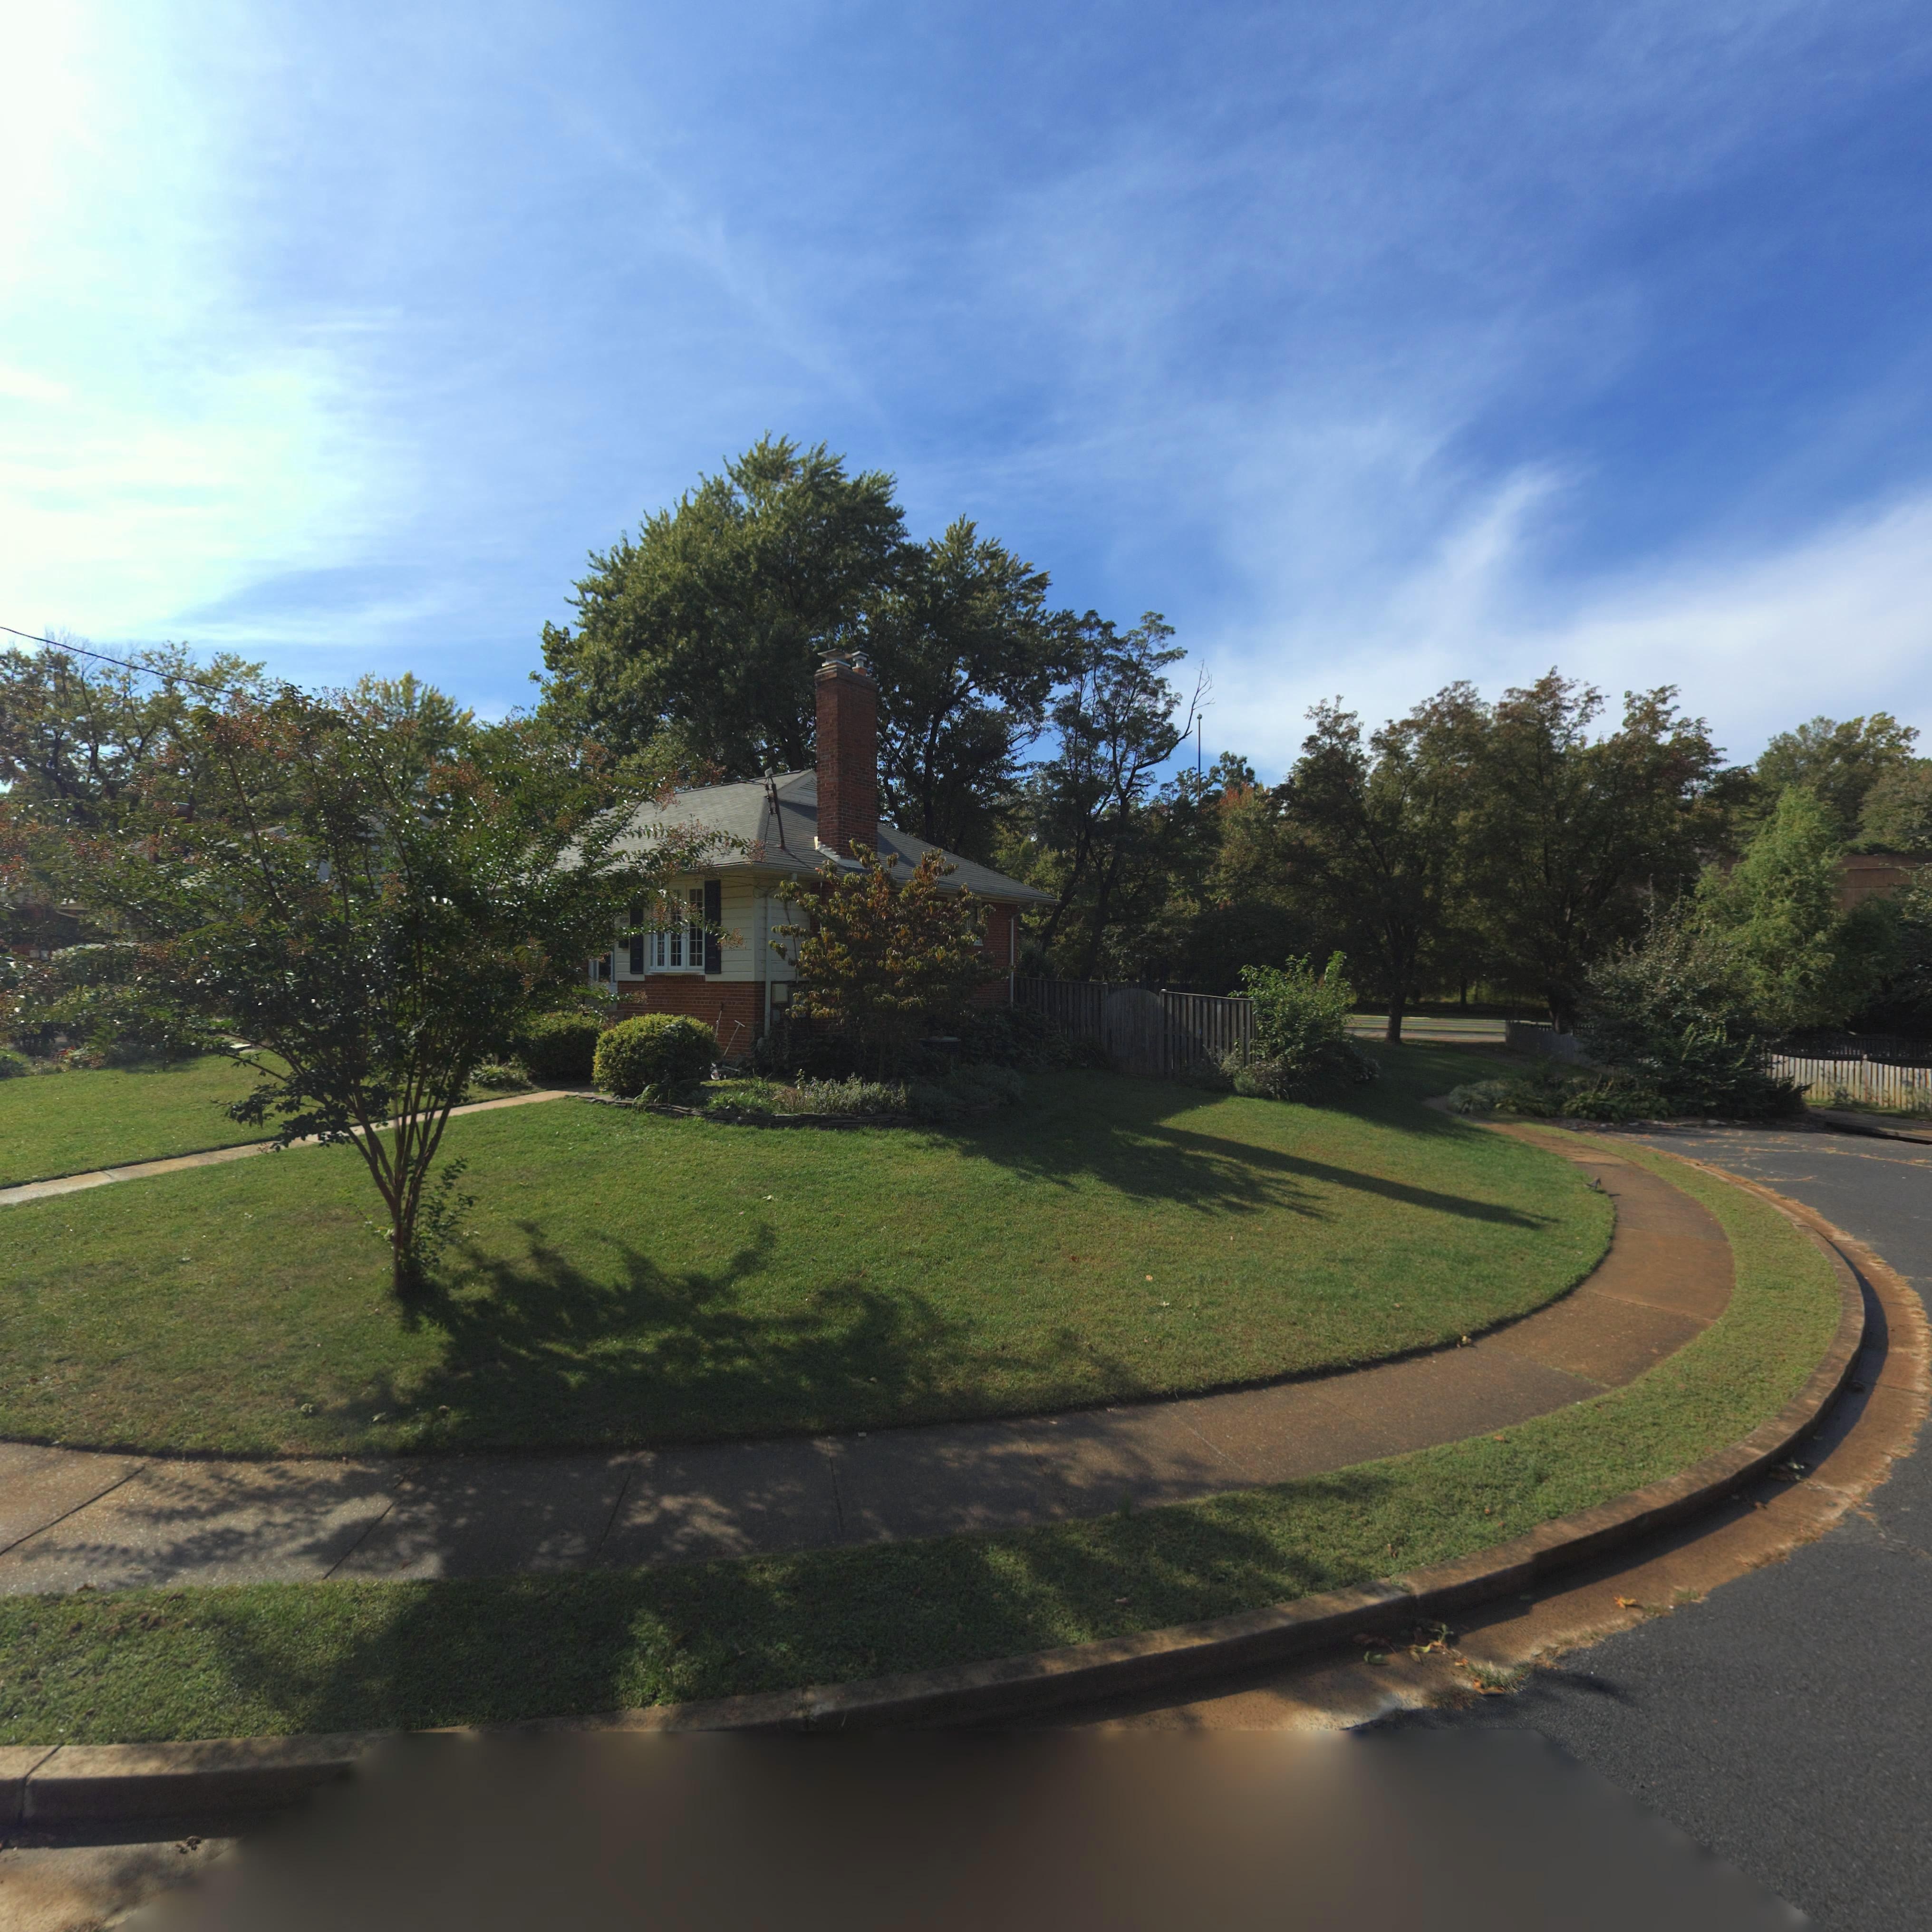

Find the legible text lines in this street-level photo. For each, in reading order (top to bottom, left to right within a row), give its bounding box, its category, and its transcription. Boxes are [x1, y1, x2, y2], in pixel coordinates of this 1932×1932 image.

[619, 917, 629, 923] StreetNumber: 1800